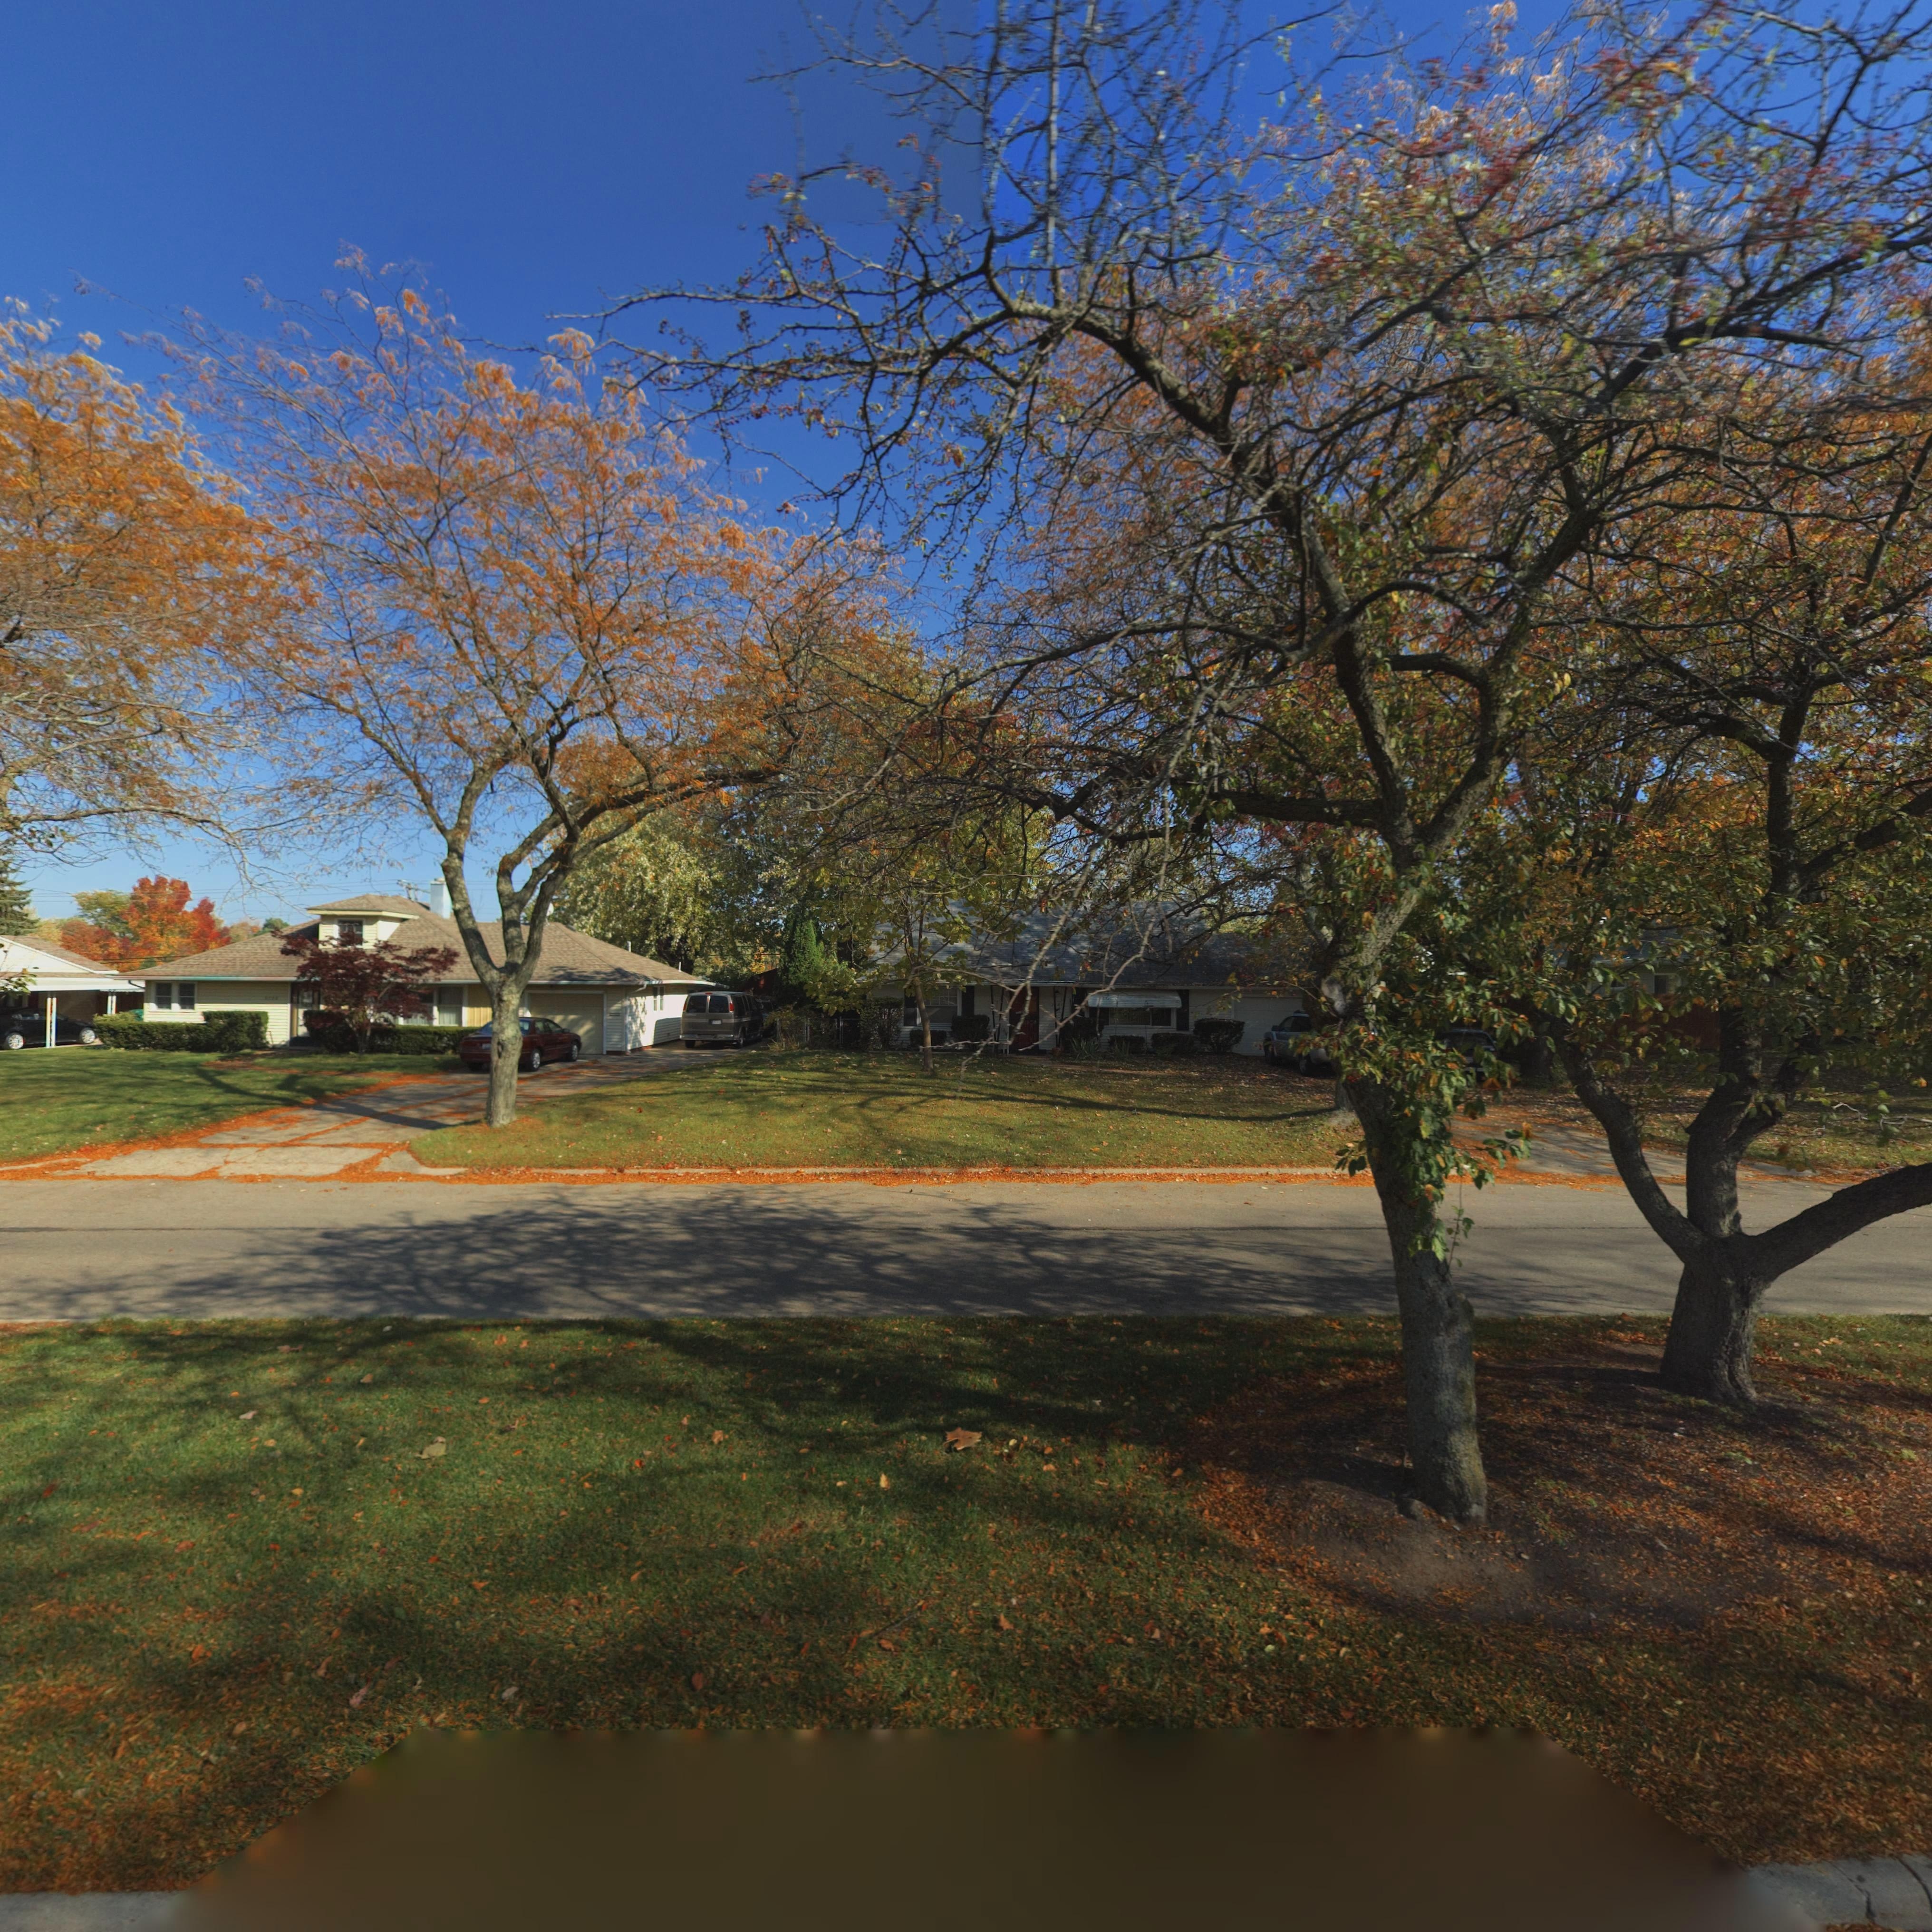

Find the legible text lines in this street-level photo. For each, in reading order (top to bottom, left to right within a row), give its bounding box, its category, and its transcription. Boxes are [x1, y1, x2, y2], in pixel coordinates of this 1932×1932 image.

[1050, 1003, 1063, 1007] StreetNumber: 3***